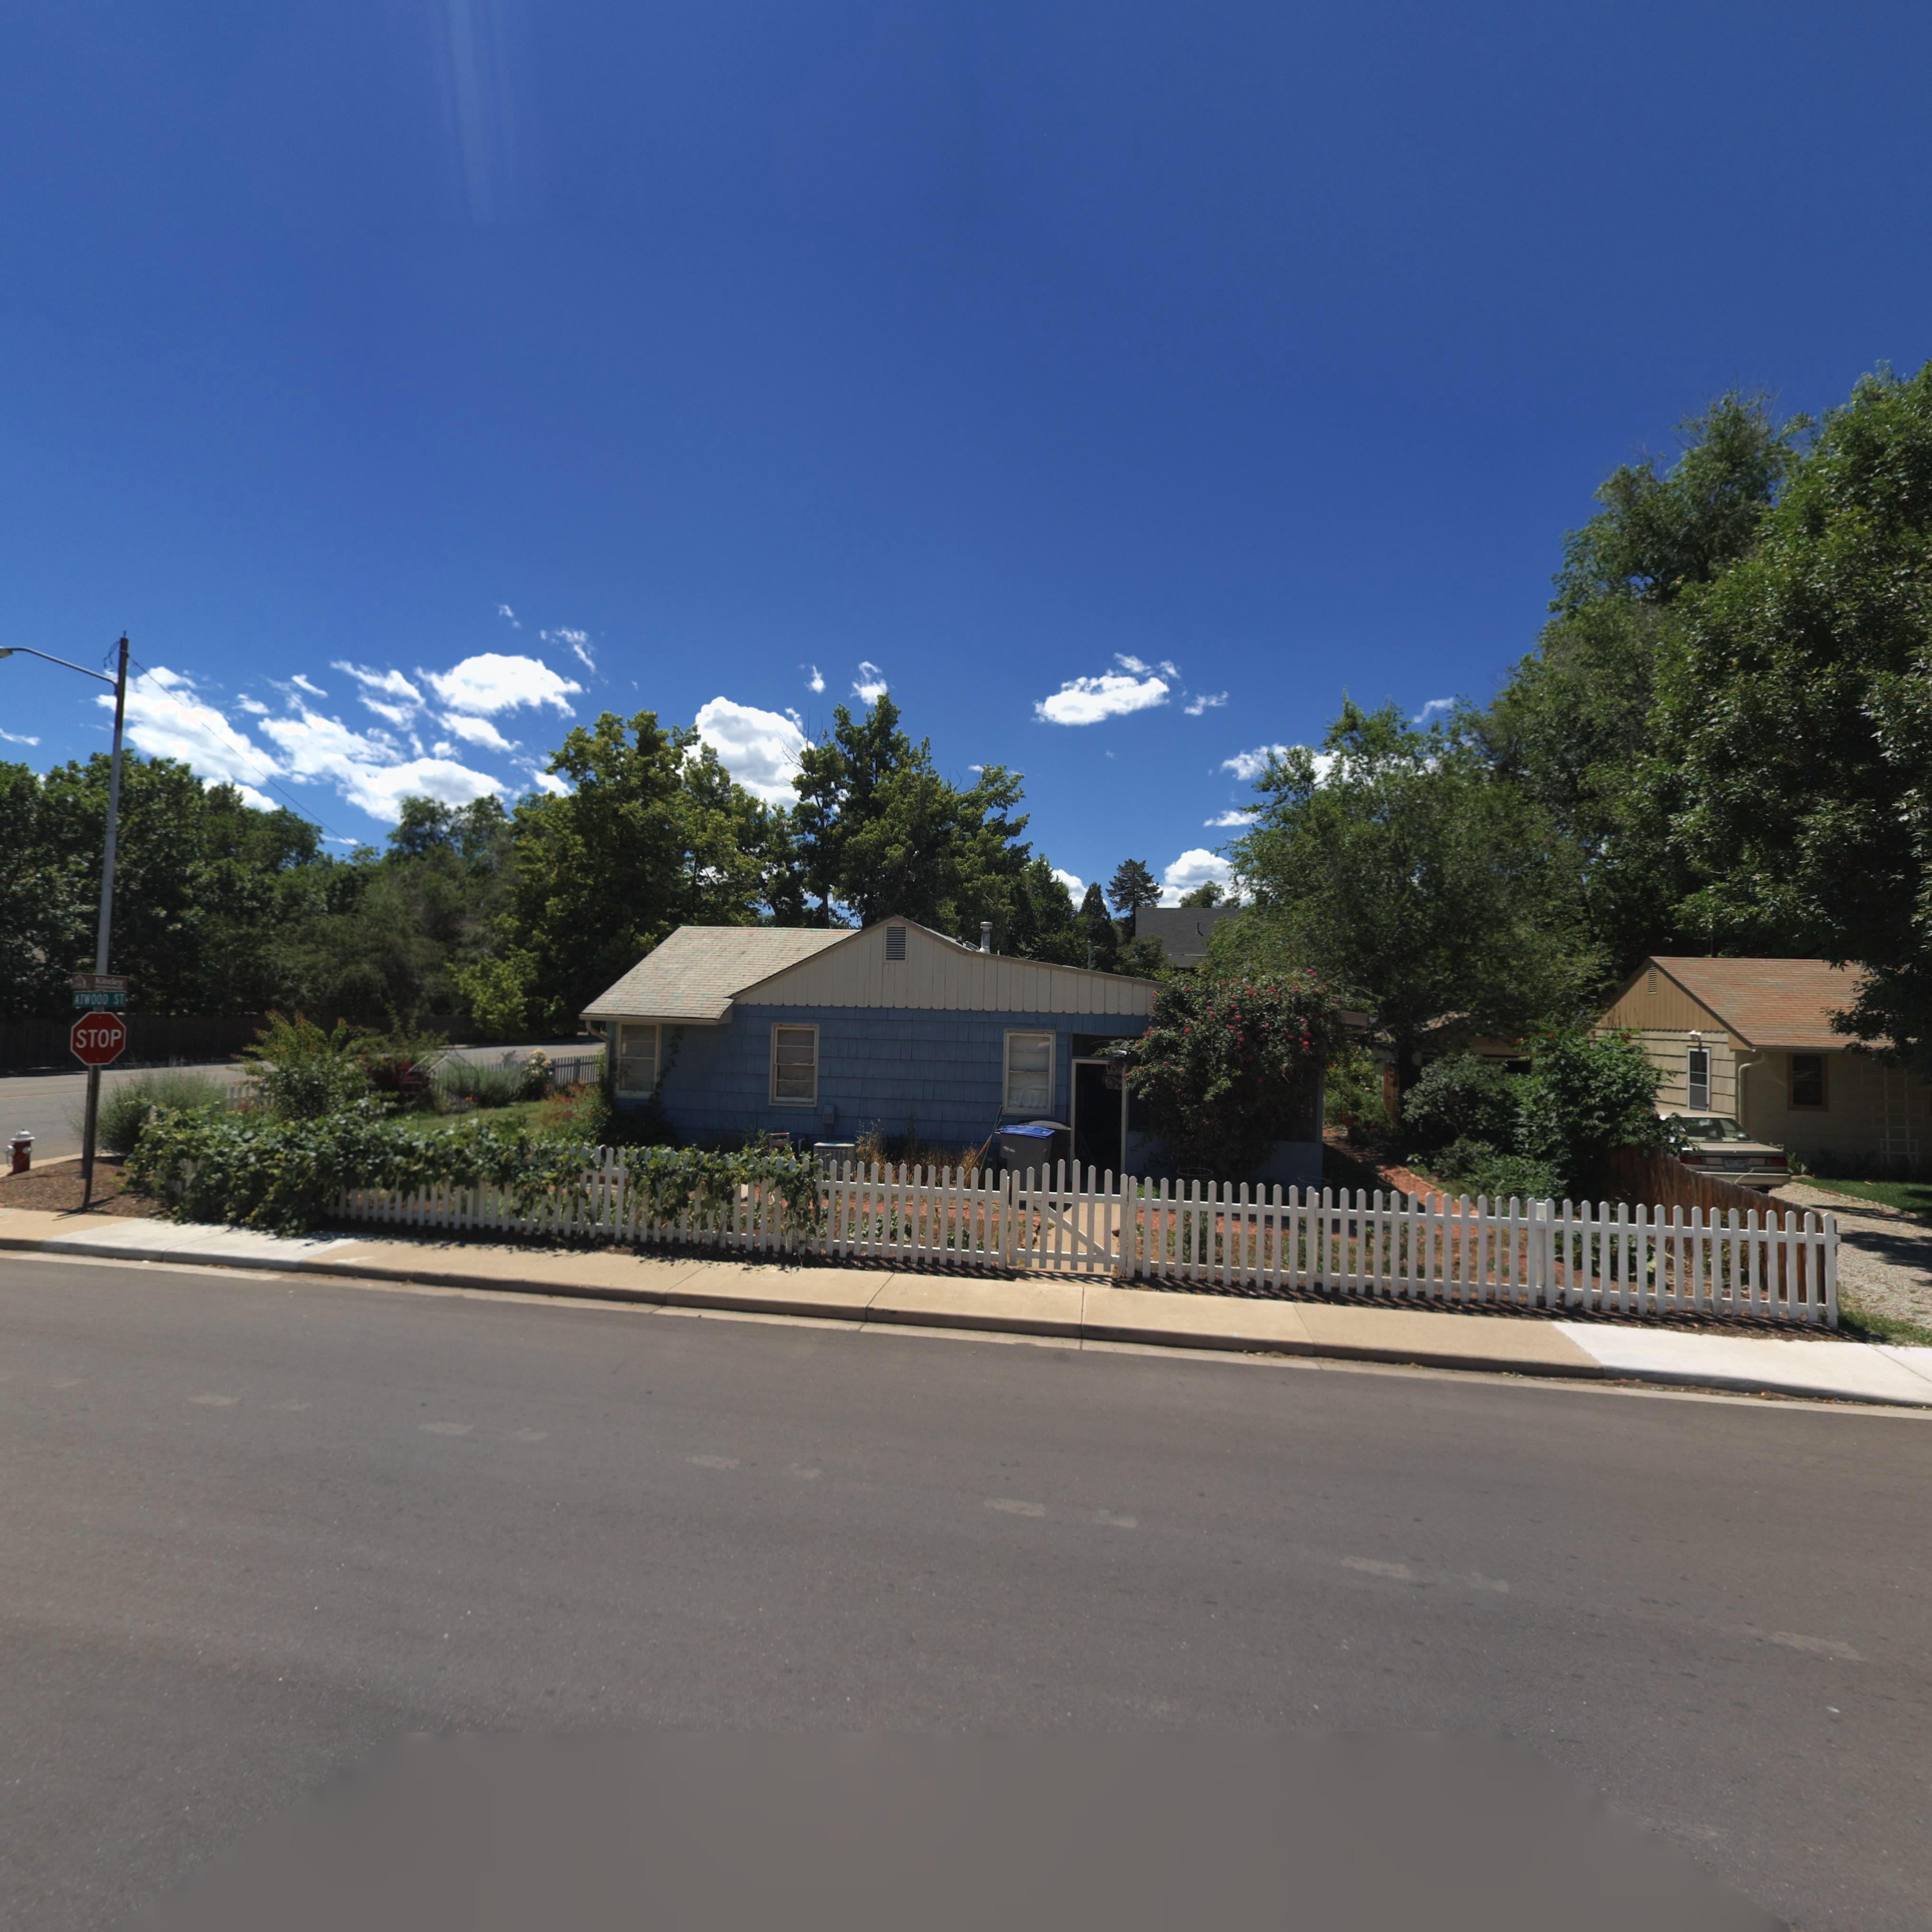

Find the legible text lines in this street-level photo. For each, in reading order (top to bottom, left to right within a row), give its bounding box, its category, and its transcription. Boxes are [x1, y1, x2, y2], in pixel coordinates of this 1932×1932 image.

[74, 994, 125, 1004] StreetName: ATWOOD ST